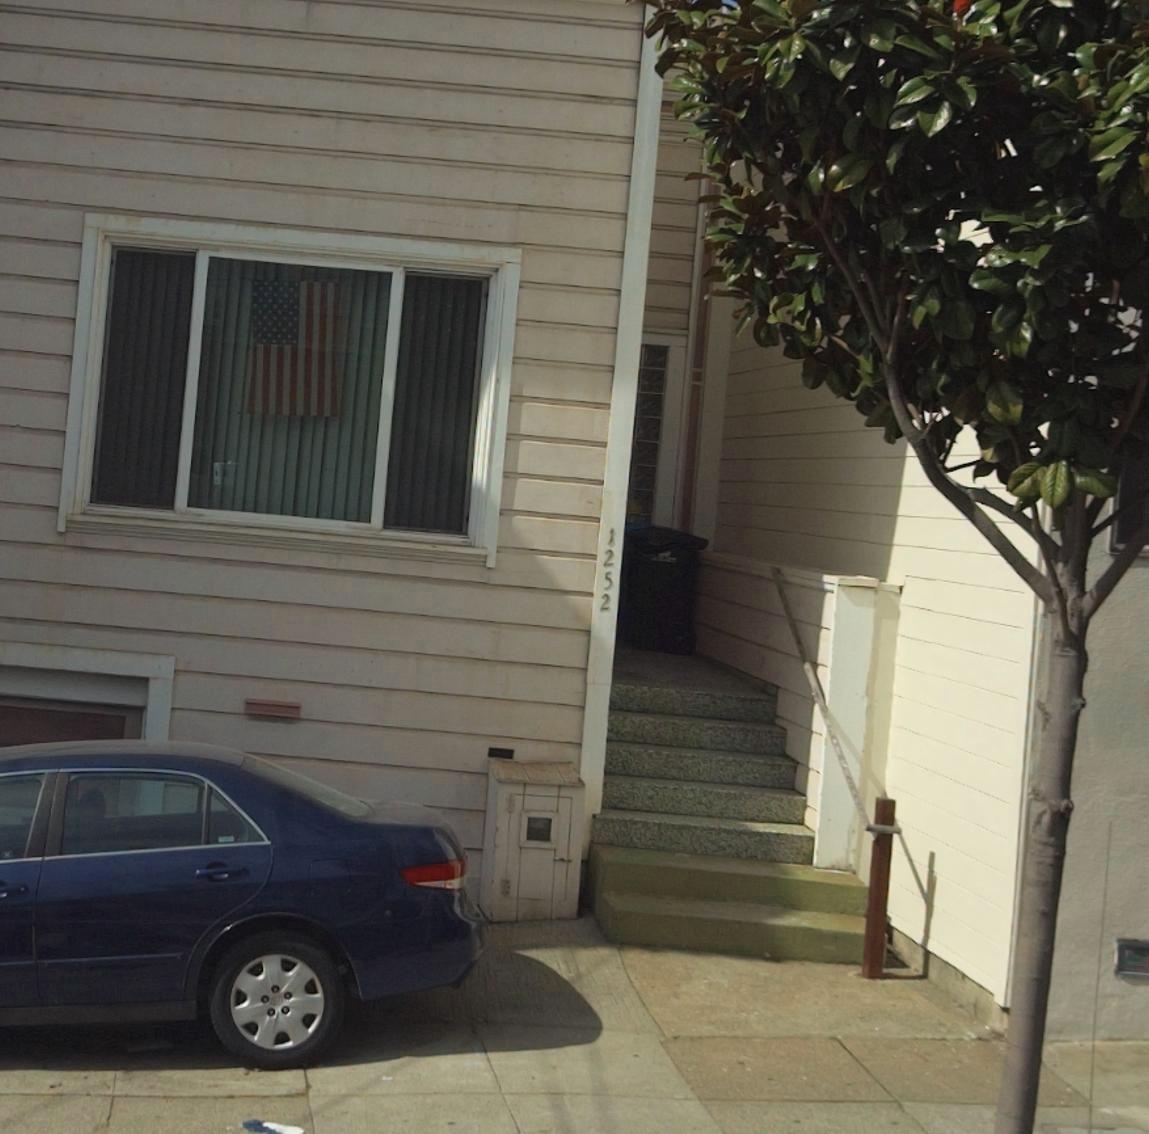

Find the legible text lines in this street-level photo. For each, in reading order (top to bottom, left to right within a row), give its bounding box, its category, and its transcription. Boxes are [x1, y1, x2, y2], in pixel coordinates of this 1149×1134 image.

[597, 526, 618, 614] StreetNumber: 1252